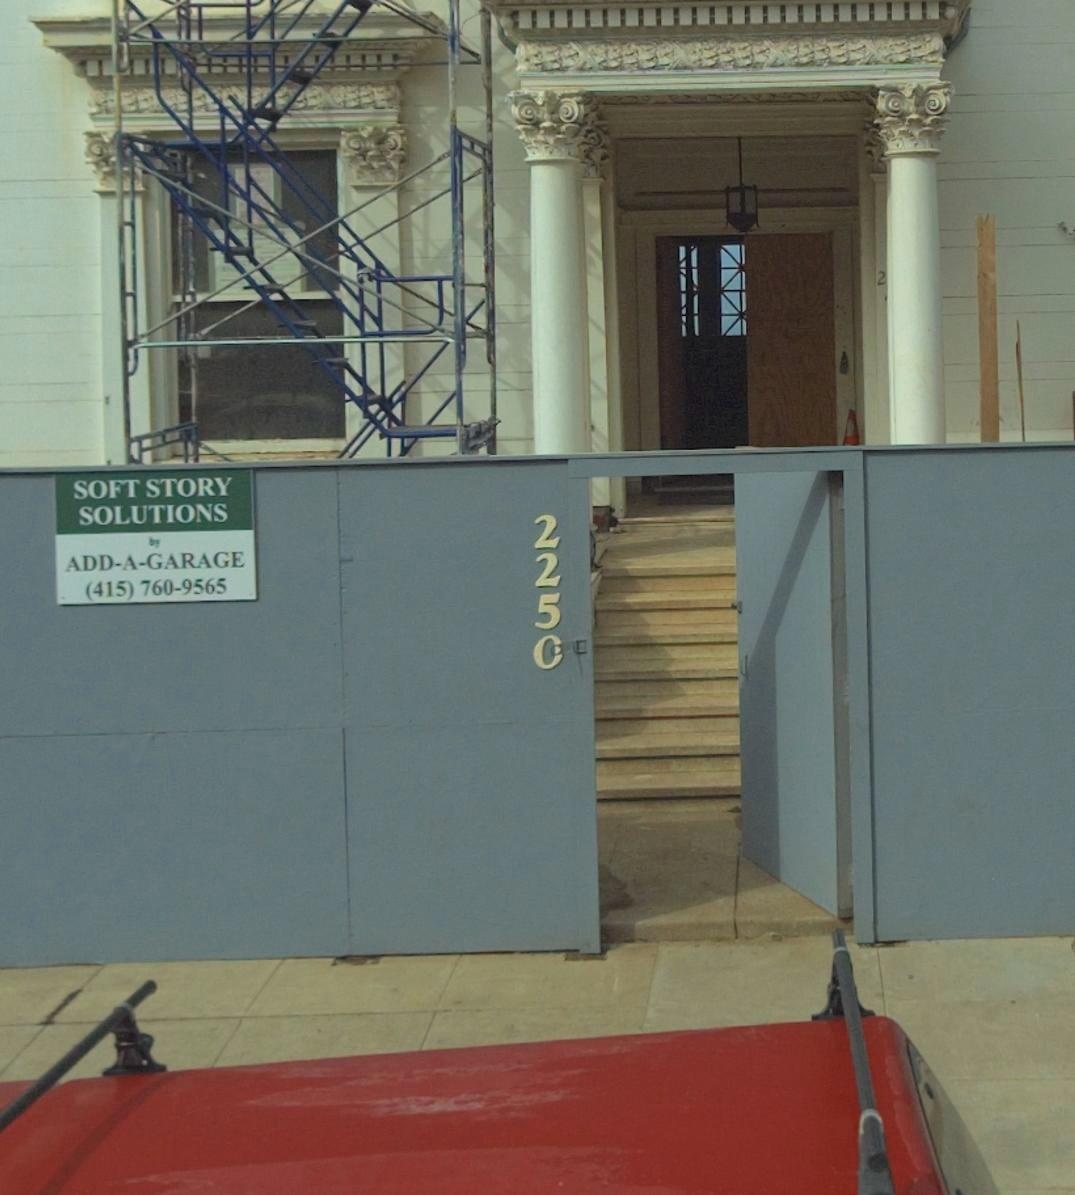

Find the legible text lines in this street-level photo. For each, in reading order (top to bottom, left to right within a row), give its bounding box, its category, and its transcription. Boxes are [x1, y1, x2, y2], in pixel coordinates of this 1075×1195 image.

[70, 474, 235, 502] None: SOFT STORY
[76, 501, 232, 529] None: SOLUTIONS
[59, 547, 250, 576] None: ADD-A-GARAGE
[81, 574, 231, 604] None: (415) 760-9565
[530, 511, 565, 673] StreetNumber: 2250